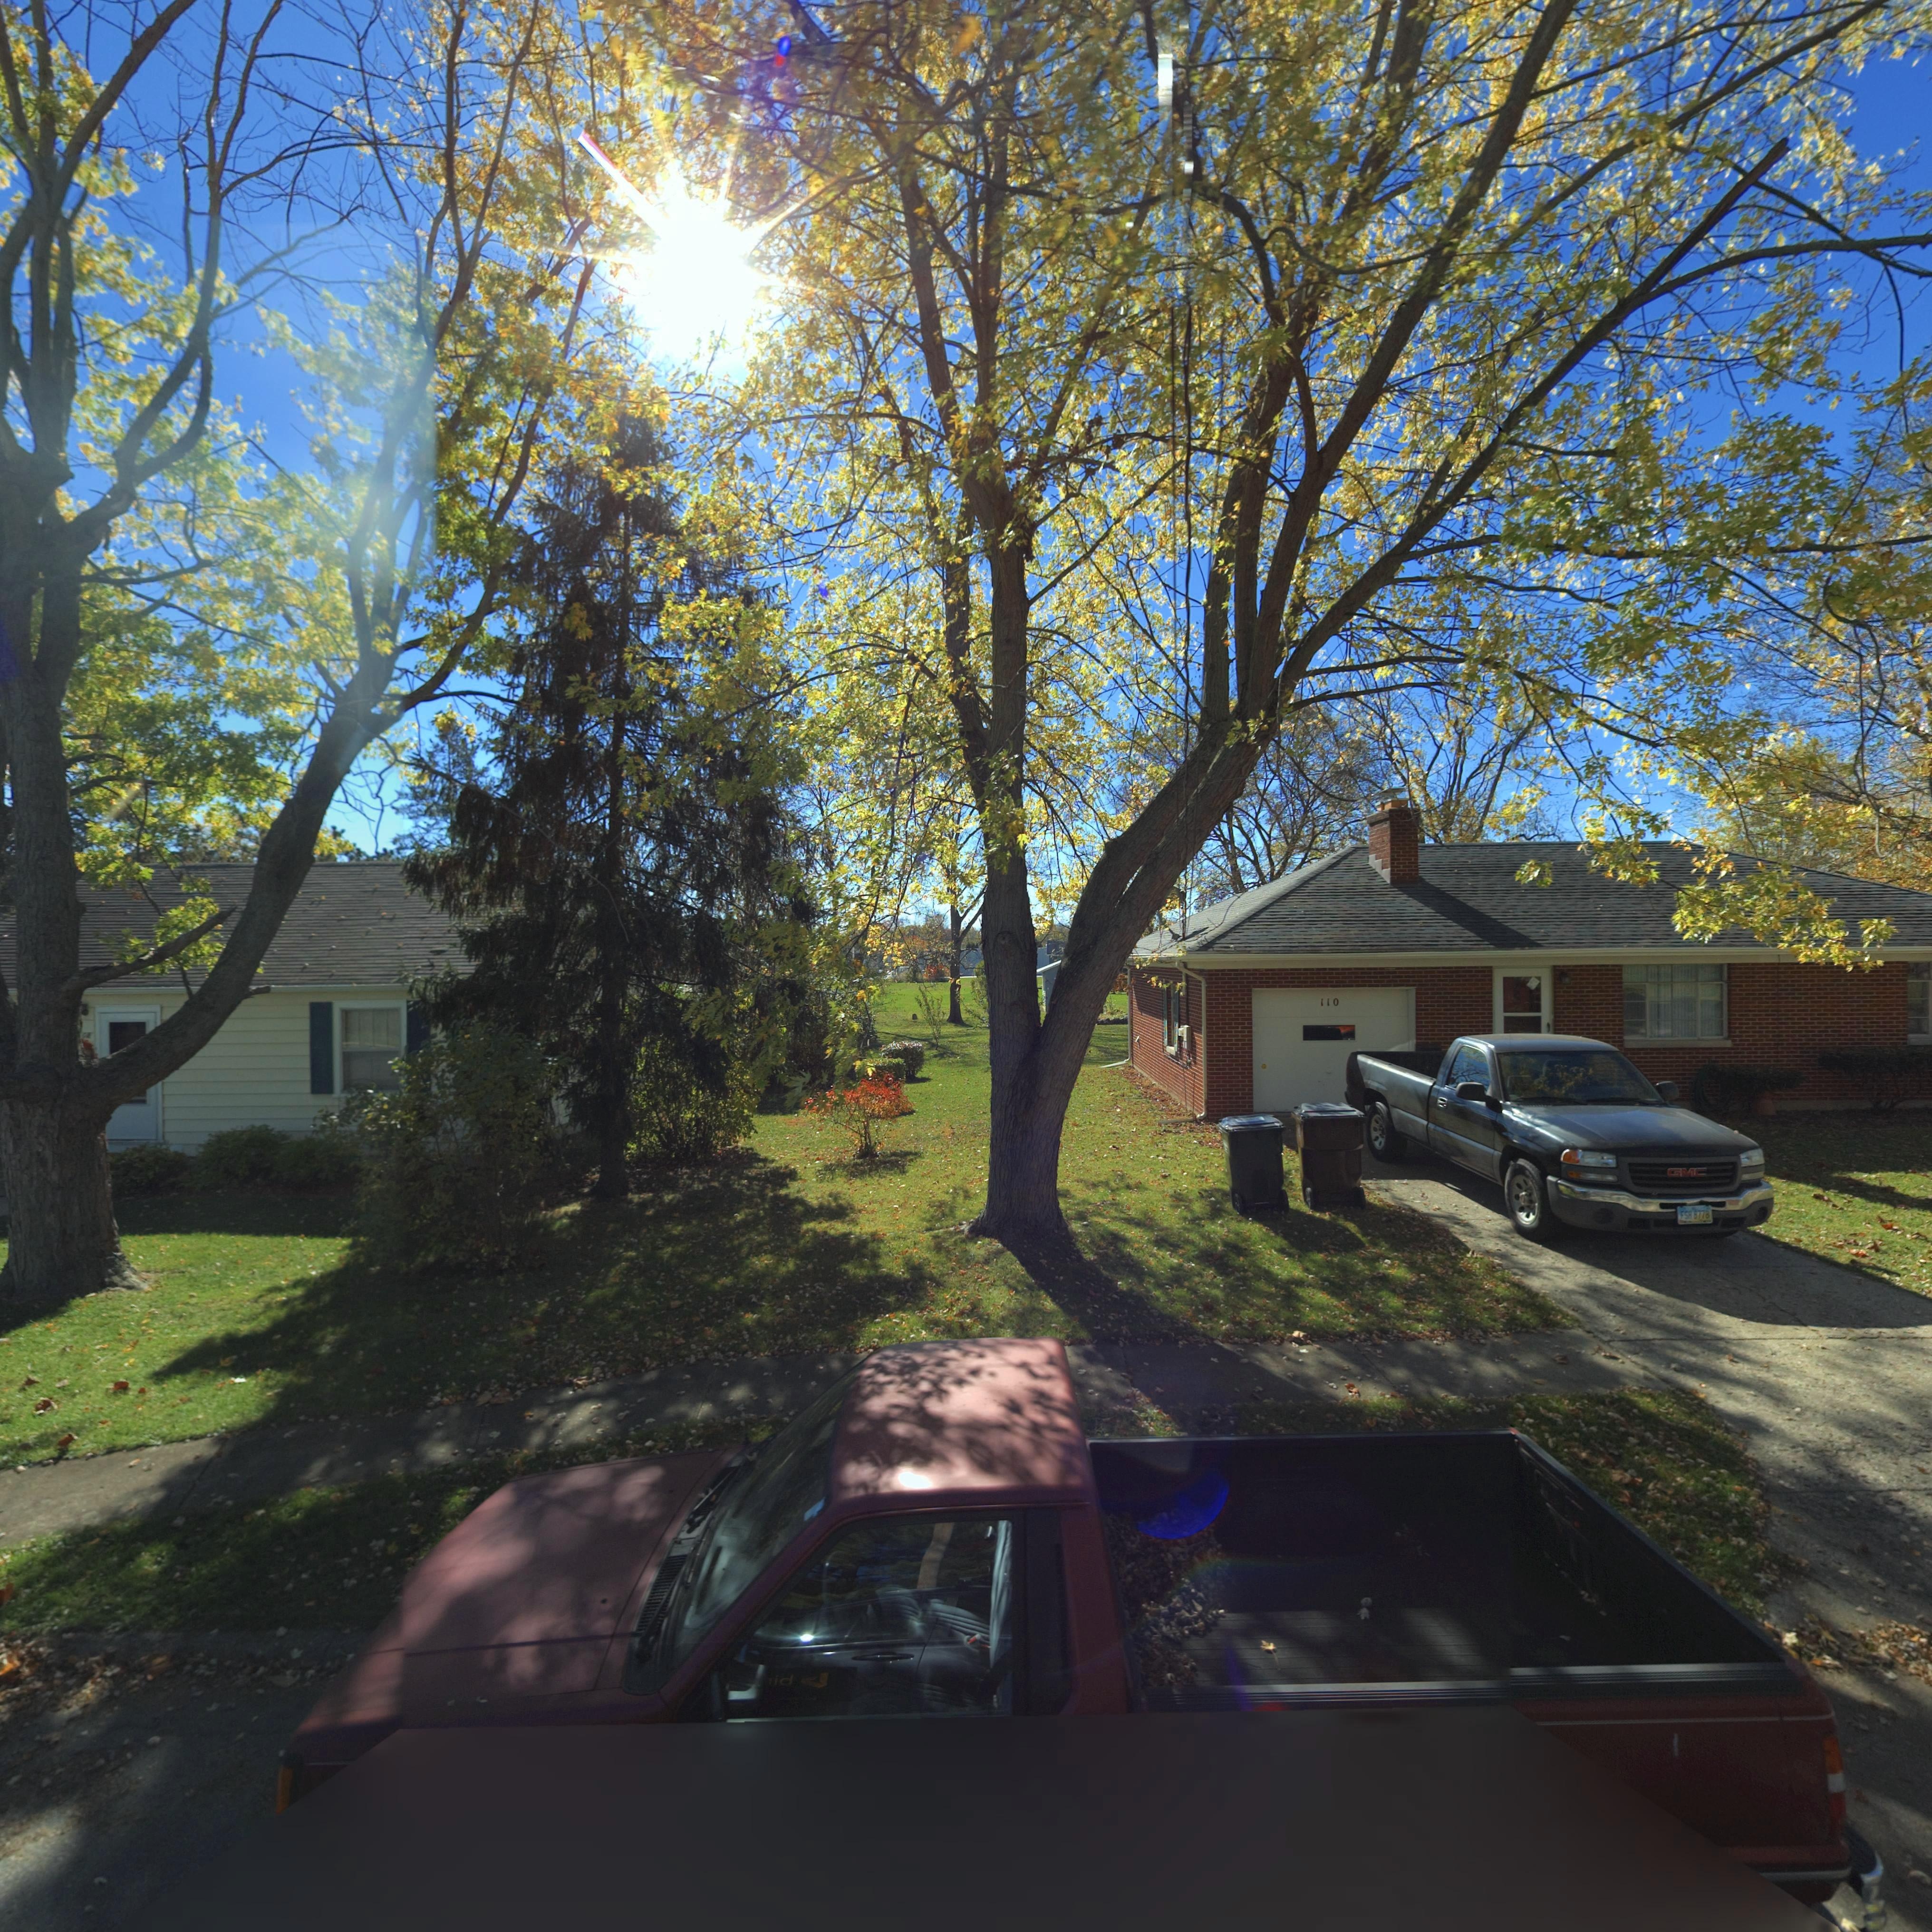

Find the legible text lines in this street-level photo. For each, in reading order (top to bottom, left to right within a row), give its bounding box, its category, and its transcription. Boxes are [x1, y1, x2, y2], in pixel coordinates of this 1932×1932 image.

[1321, 997, 1339, 1007] StreetNumber: 110
[1666, 1167, 1708, 1178] None: GMC
[1680, 1209, 1710, 1221] None: FSH*8778